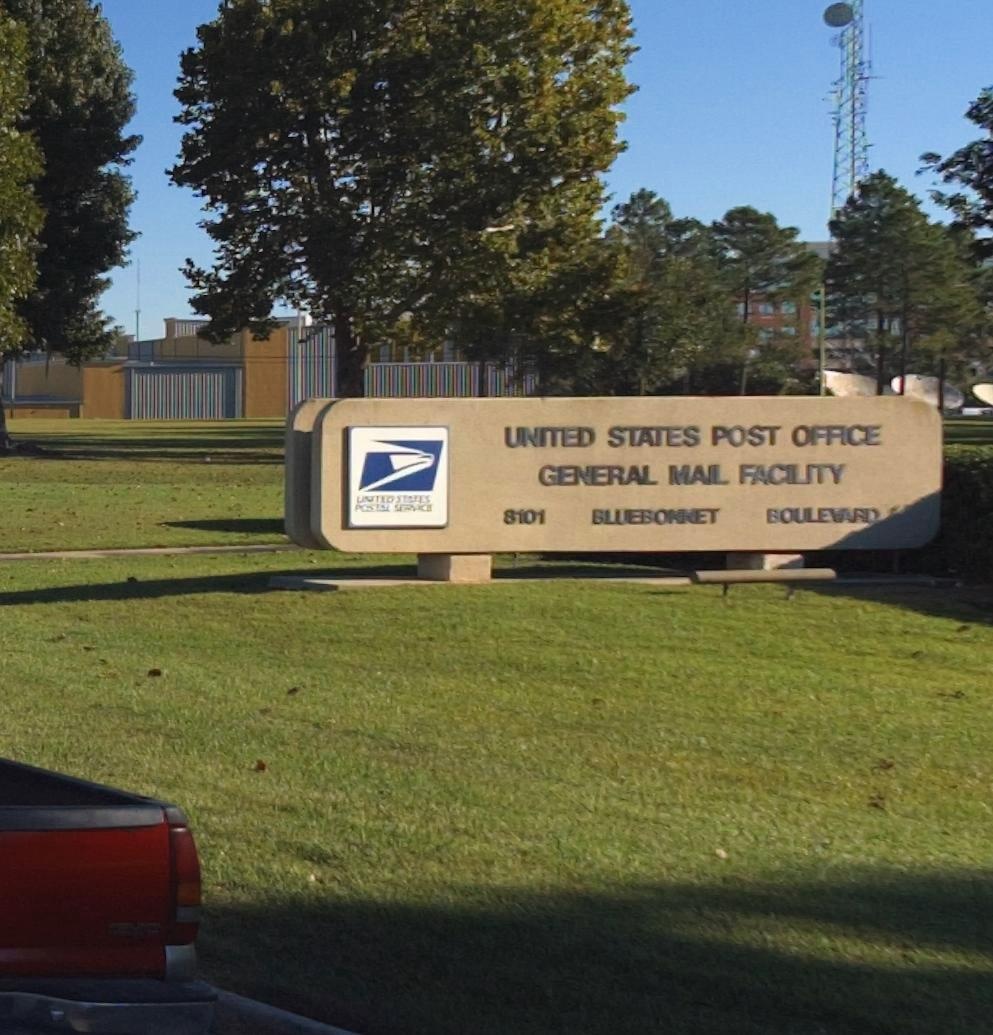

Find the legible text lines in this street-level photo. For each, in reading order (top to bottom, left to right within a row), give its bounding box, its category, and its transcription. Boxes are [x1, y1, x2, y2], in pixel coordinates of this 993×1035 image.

[503, 424, 882, 448] BusinessName: UNITED STATES POST OFFICE
[537, 463, 847, 486] BusinessName: GENERAL MAIL FACILITY
[503, 508, 545, 526] StreetNumber: 8101
[591, 507, 882, 525] StreetName: BLUEBONNET BOULEVARD